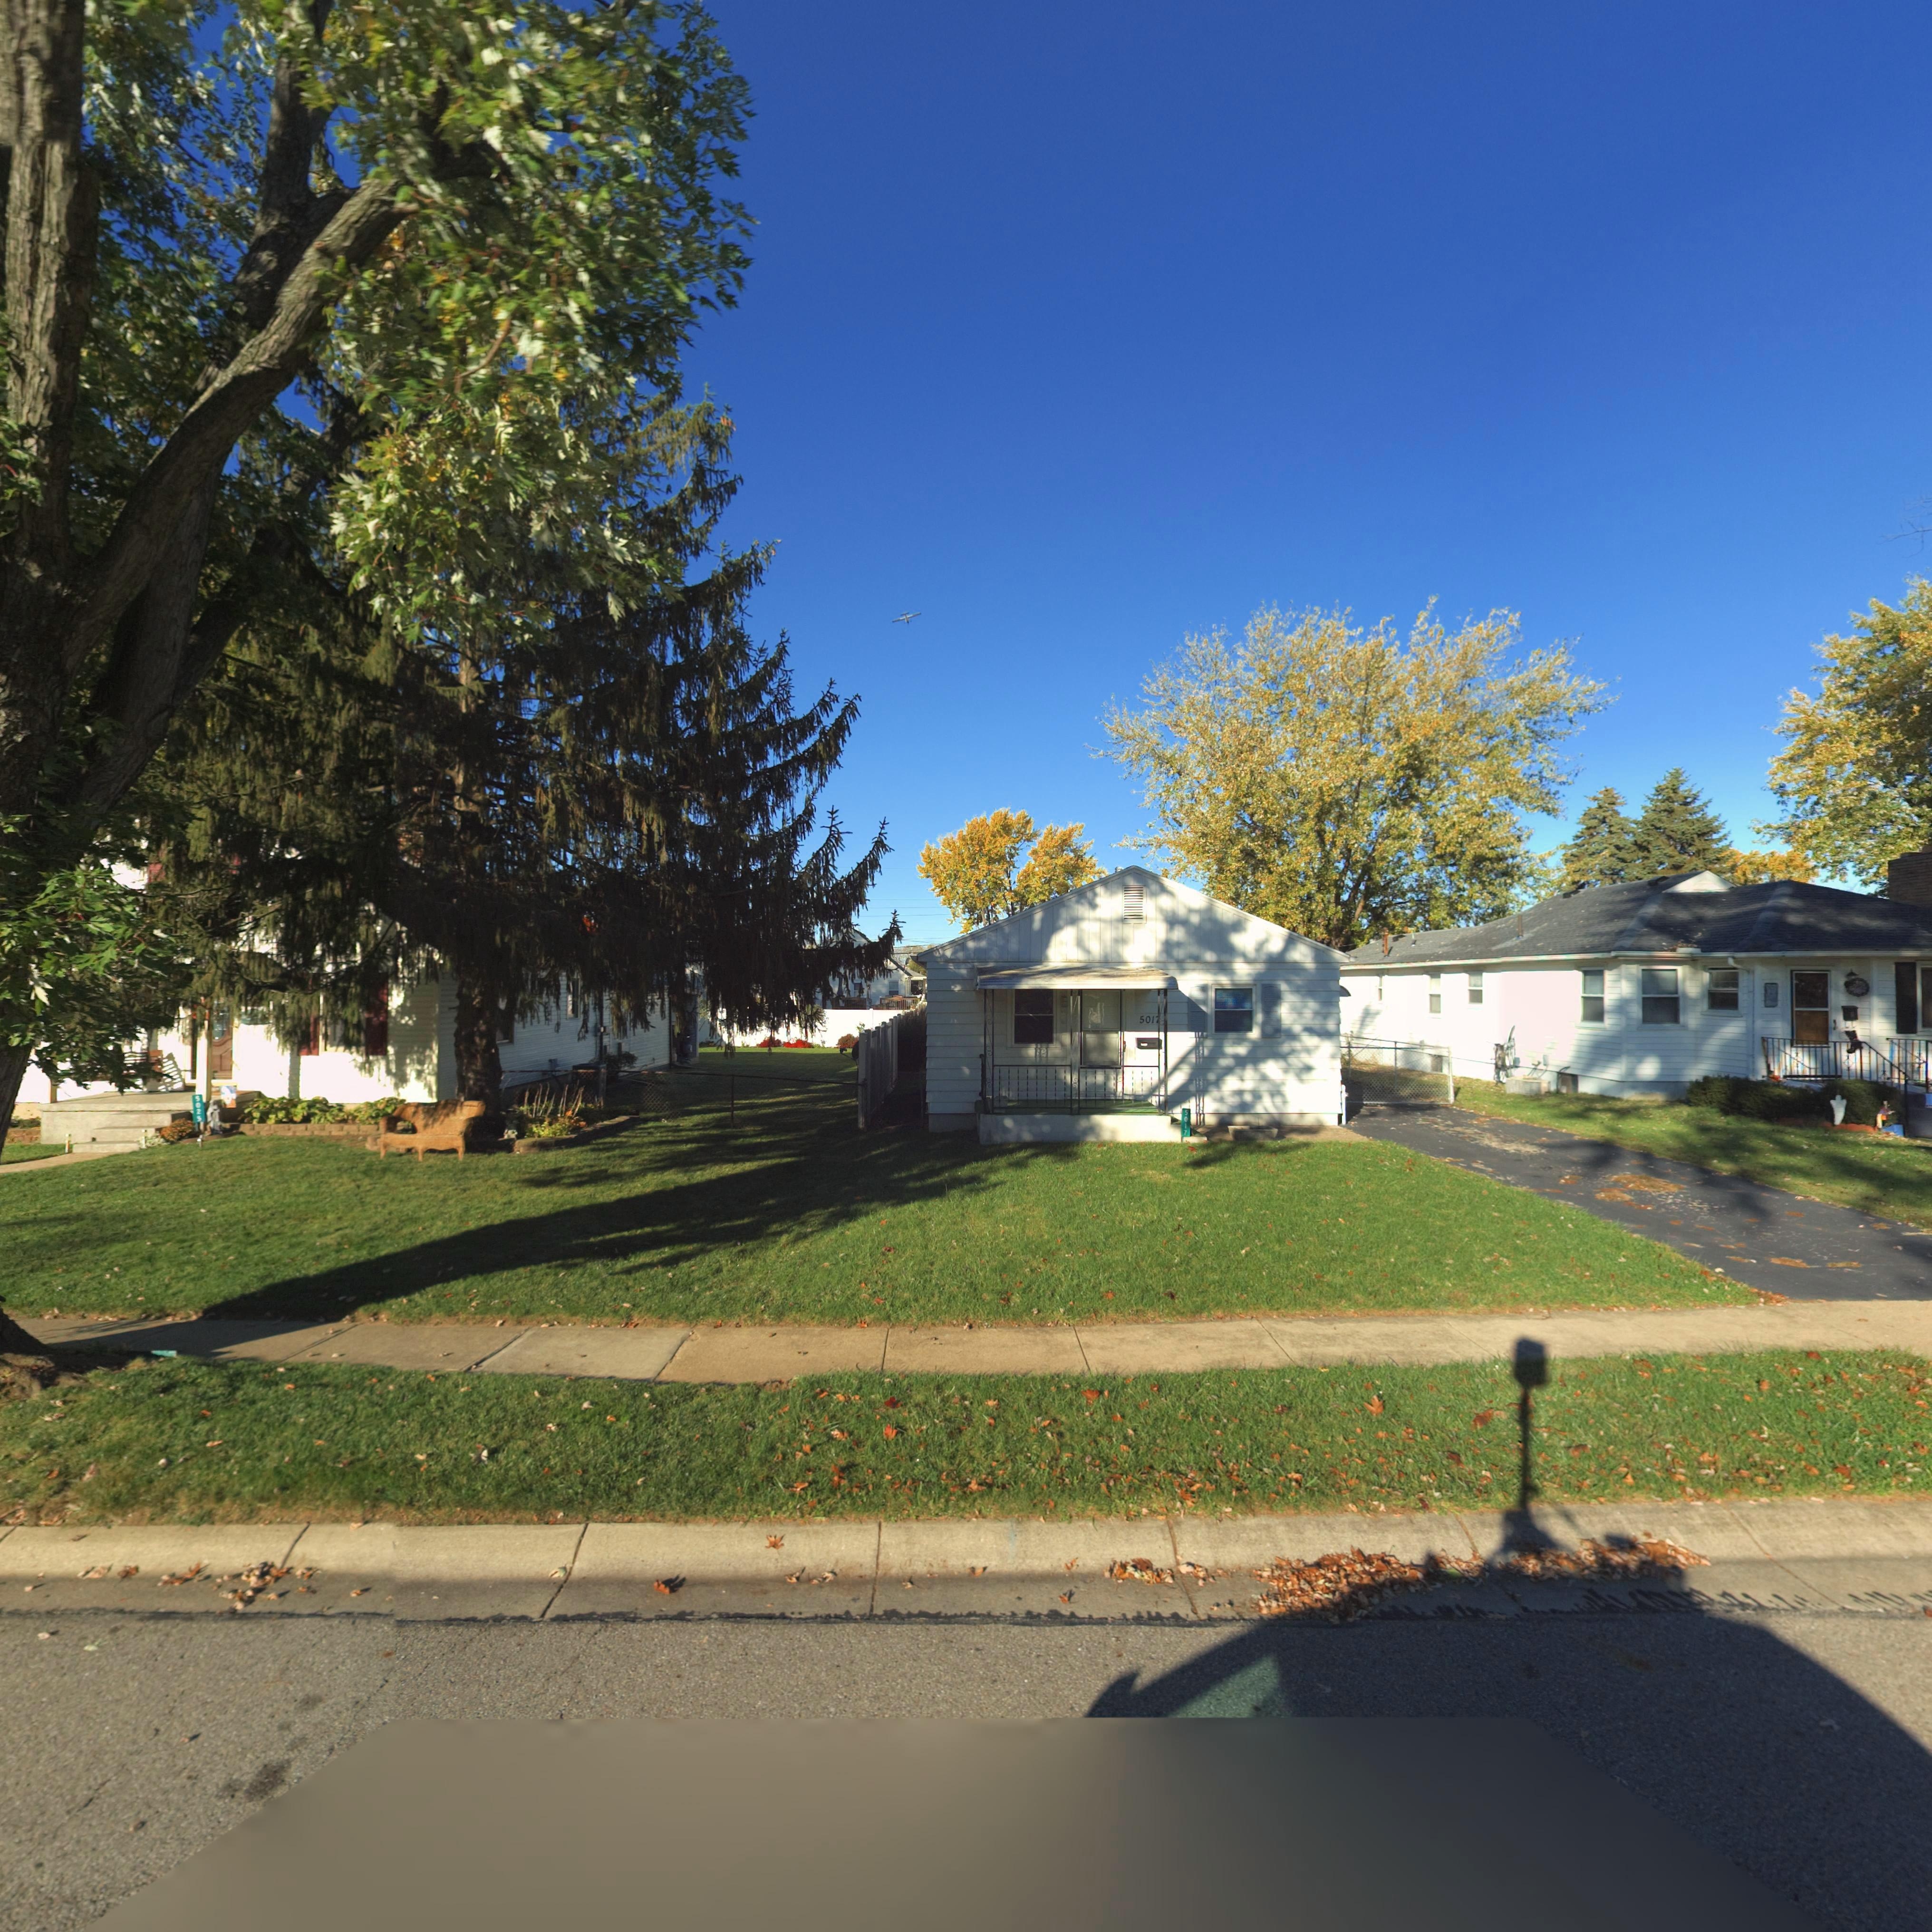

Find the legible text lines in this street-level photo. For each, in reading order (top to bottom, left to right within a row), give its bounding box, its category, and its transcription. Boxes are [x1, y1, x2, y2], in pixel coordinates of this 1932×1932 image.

[1139, 1015, 1162, 1024] StreetNumber: 501*
[194, 1095, 203, 1122] StreetNumber: 502*
[1183, 1109, 1189, 1135] StreetNumber: 5017